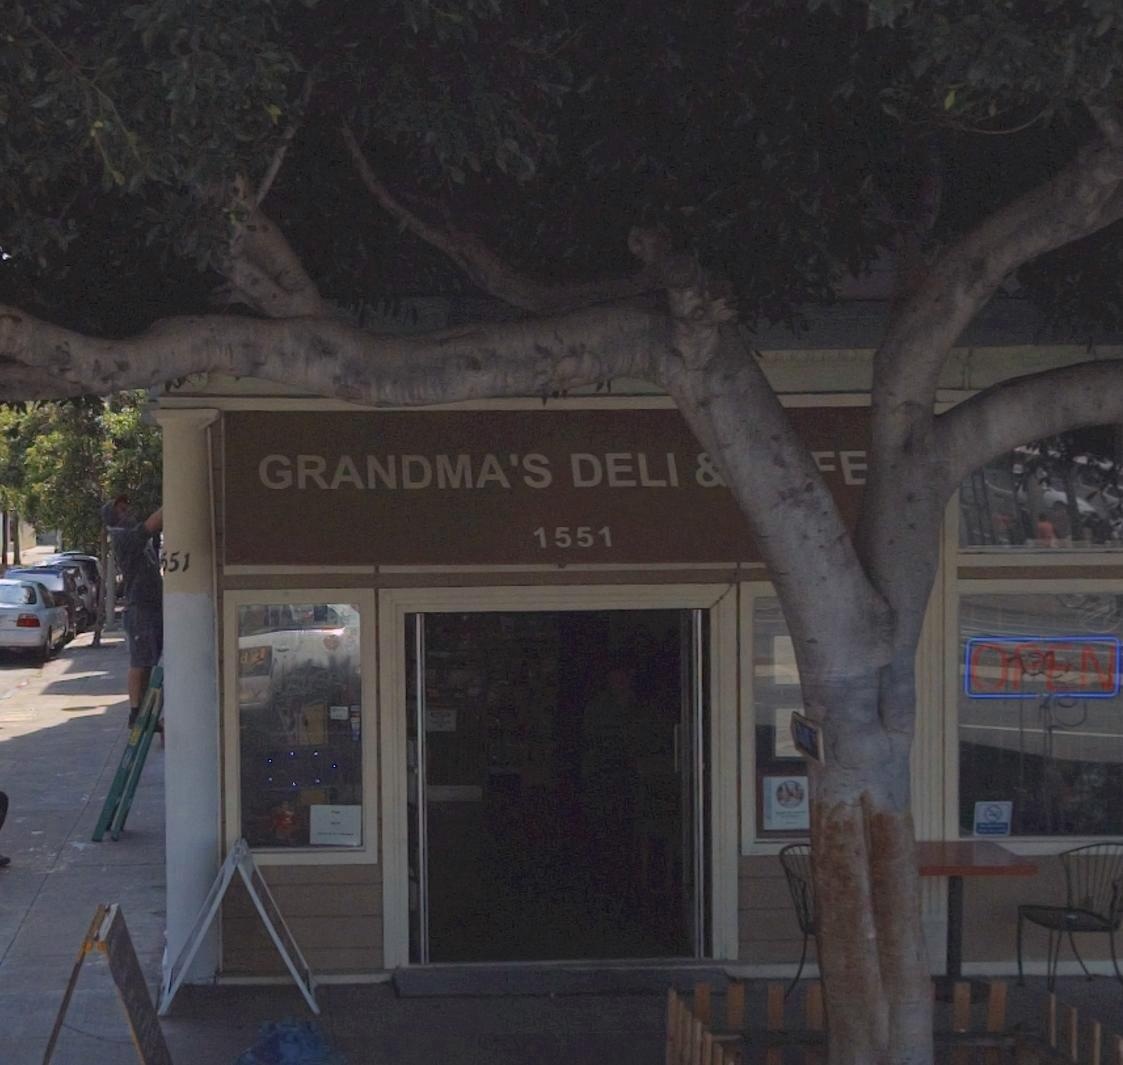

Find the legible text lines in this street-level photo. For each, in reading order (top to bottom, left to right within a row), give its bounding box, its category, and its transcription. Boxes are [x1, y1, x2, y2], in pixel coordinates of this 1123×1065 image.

[257, 449, 681, 490] BusinessName: GRANMA'S DELI
[532, 524, 615, 550] StreetNumber: 1551
[166, 549, 191, 573] None: 51
[967, 640, 1117, 692] None: OPEN